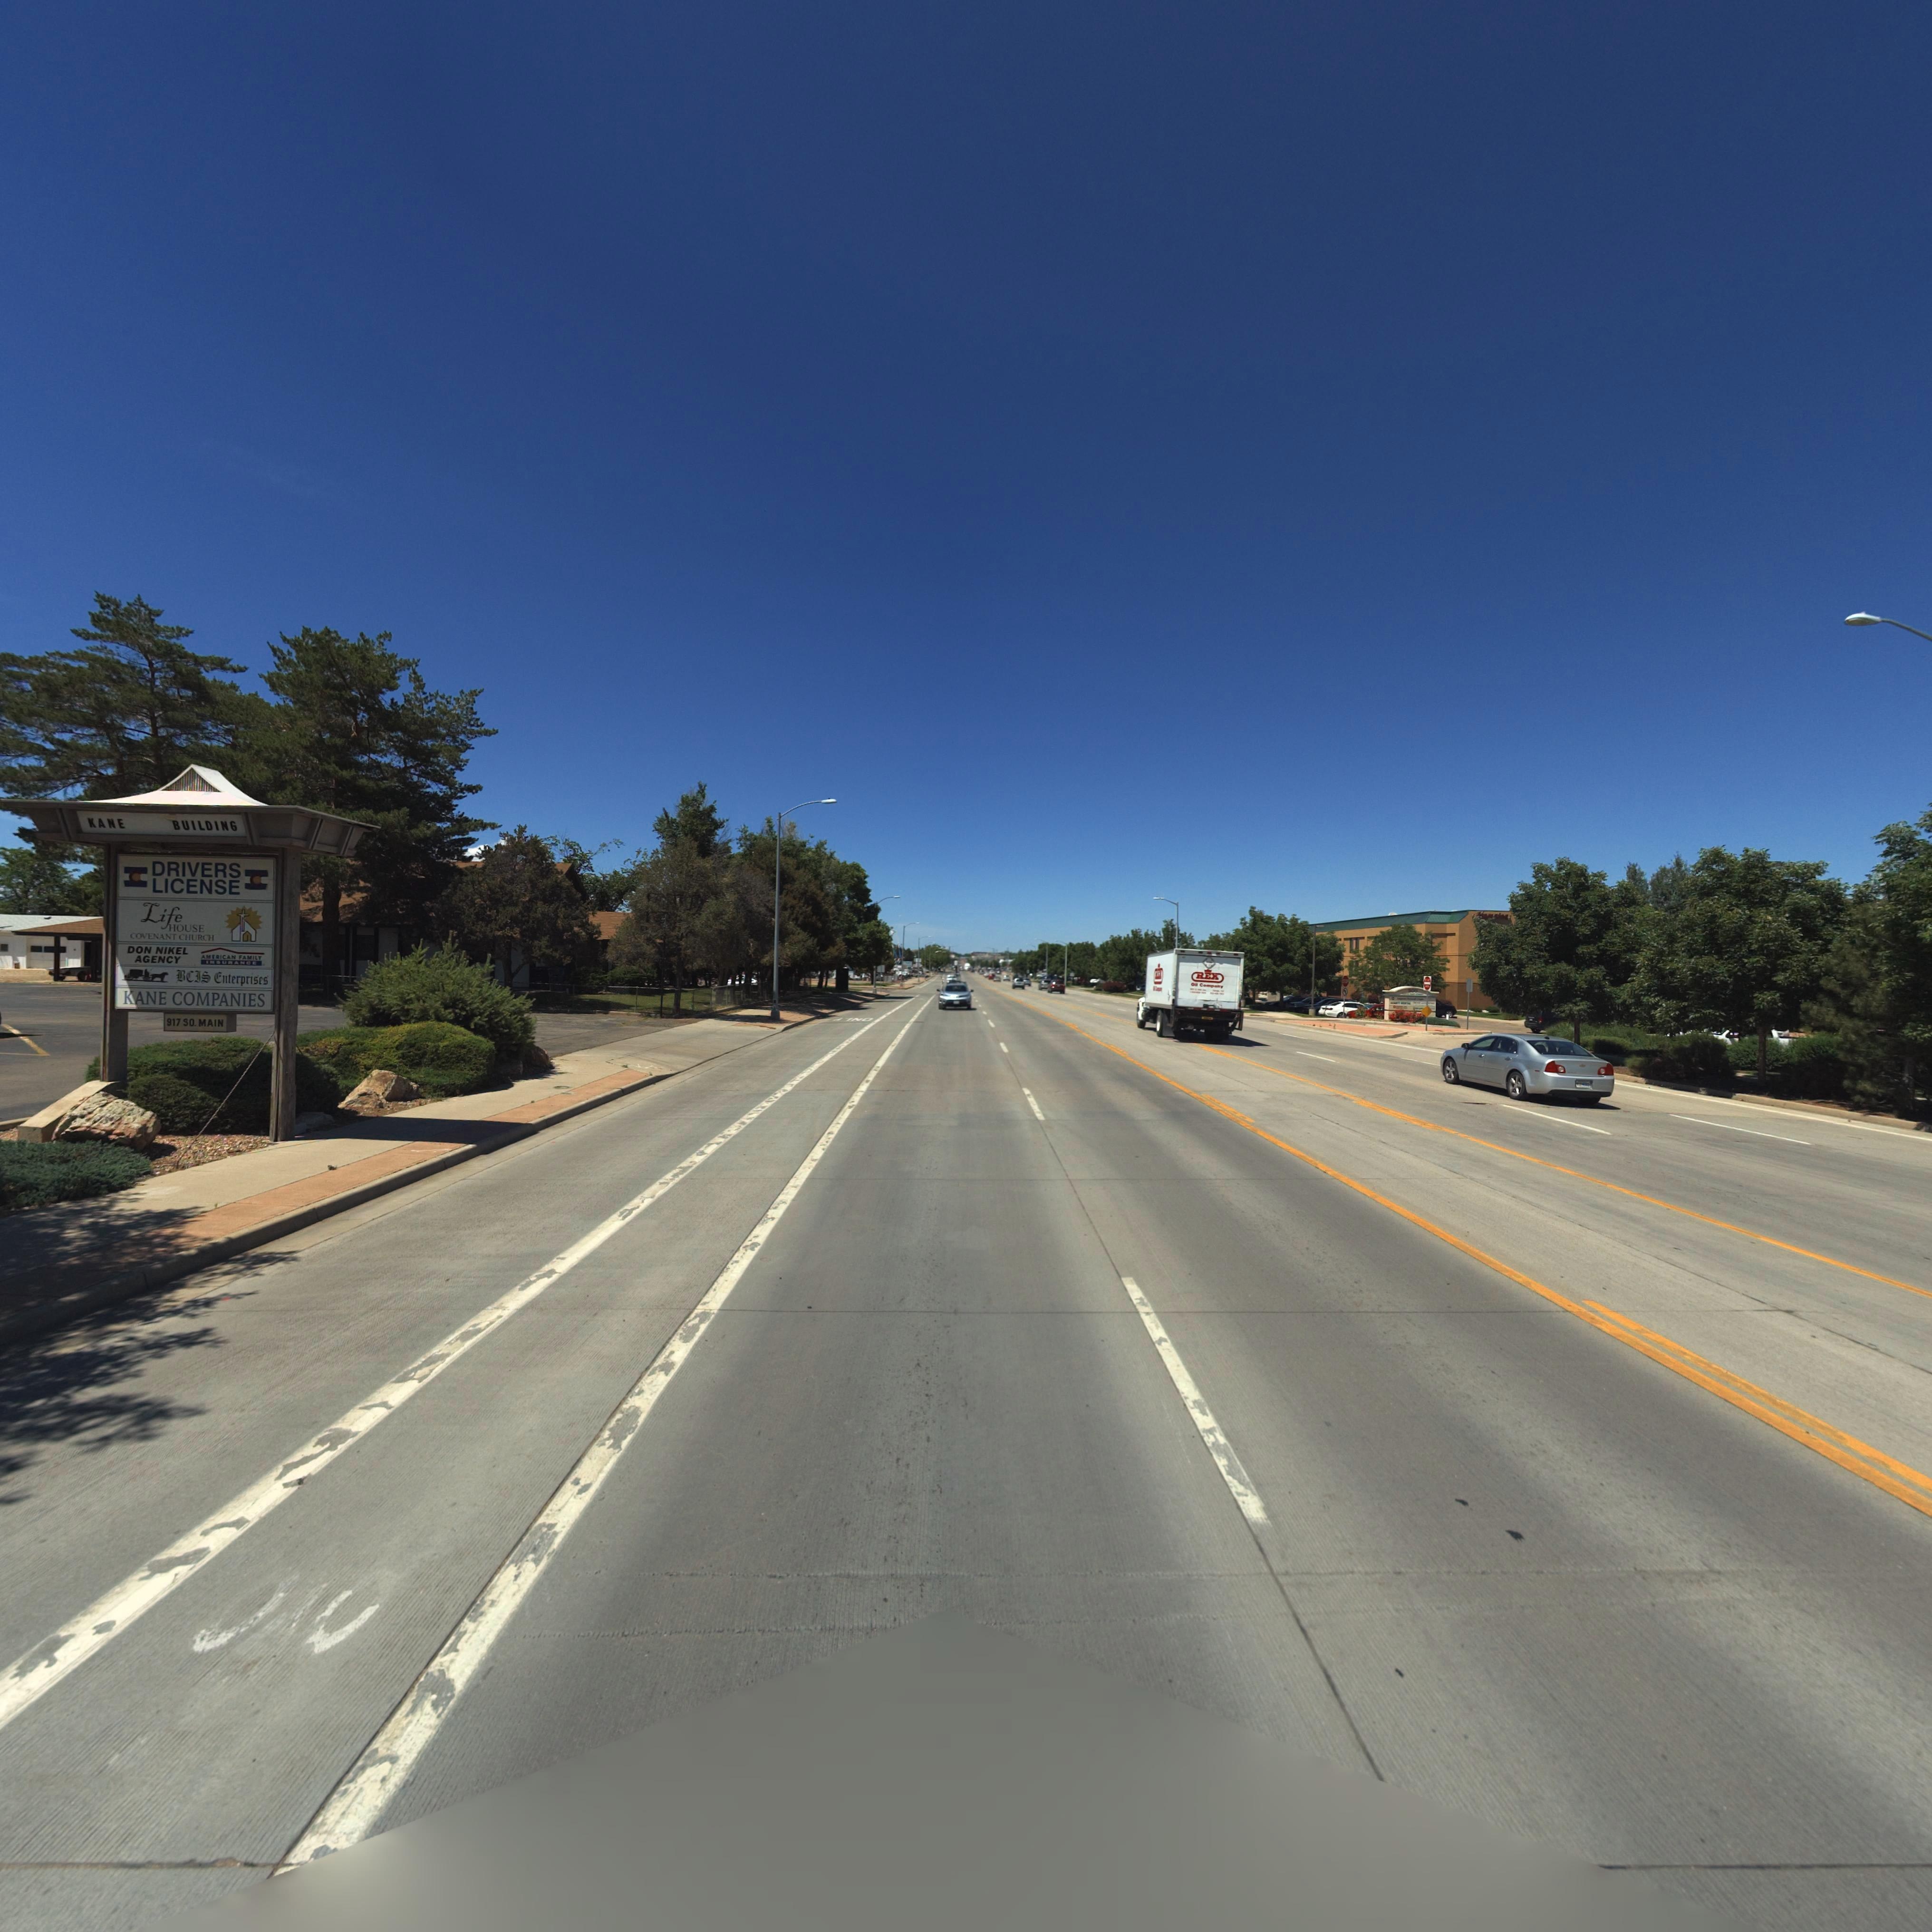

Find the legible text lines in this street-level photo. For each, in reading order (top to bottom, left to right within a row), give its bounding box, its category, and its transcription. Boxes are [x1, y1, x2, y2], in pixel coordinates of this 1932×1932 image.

[145, 902, 183, 923] BusinessName: Life
[168, 923, 204, 933] BusinessName: HOUSE
[130, 932, 214, 941] BusinessName: COVENANT CHURCHY
[201, 954, 261, 960] BusinessName: AMERICAN FAMILY
[205, 959, 256, 965] BusinessName: INSURANCE
[177, 969, 268, 986] BusinessName: BCIS Enterprises
[1408, 988, 1417, 993] StreetNumber: 500
[166, 1018, 181, 1026] StreetNumber: 917
[183, 1018, 223, 1027] StreetName: SO. MAIN